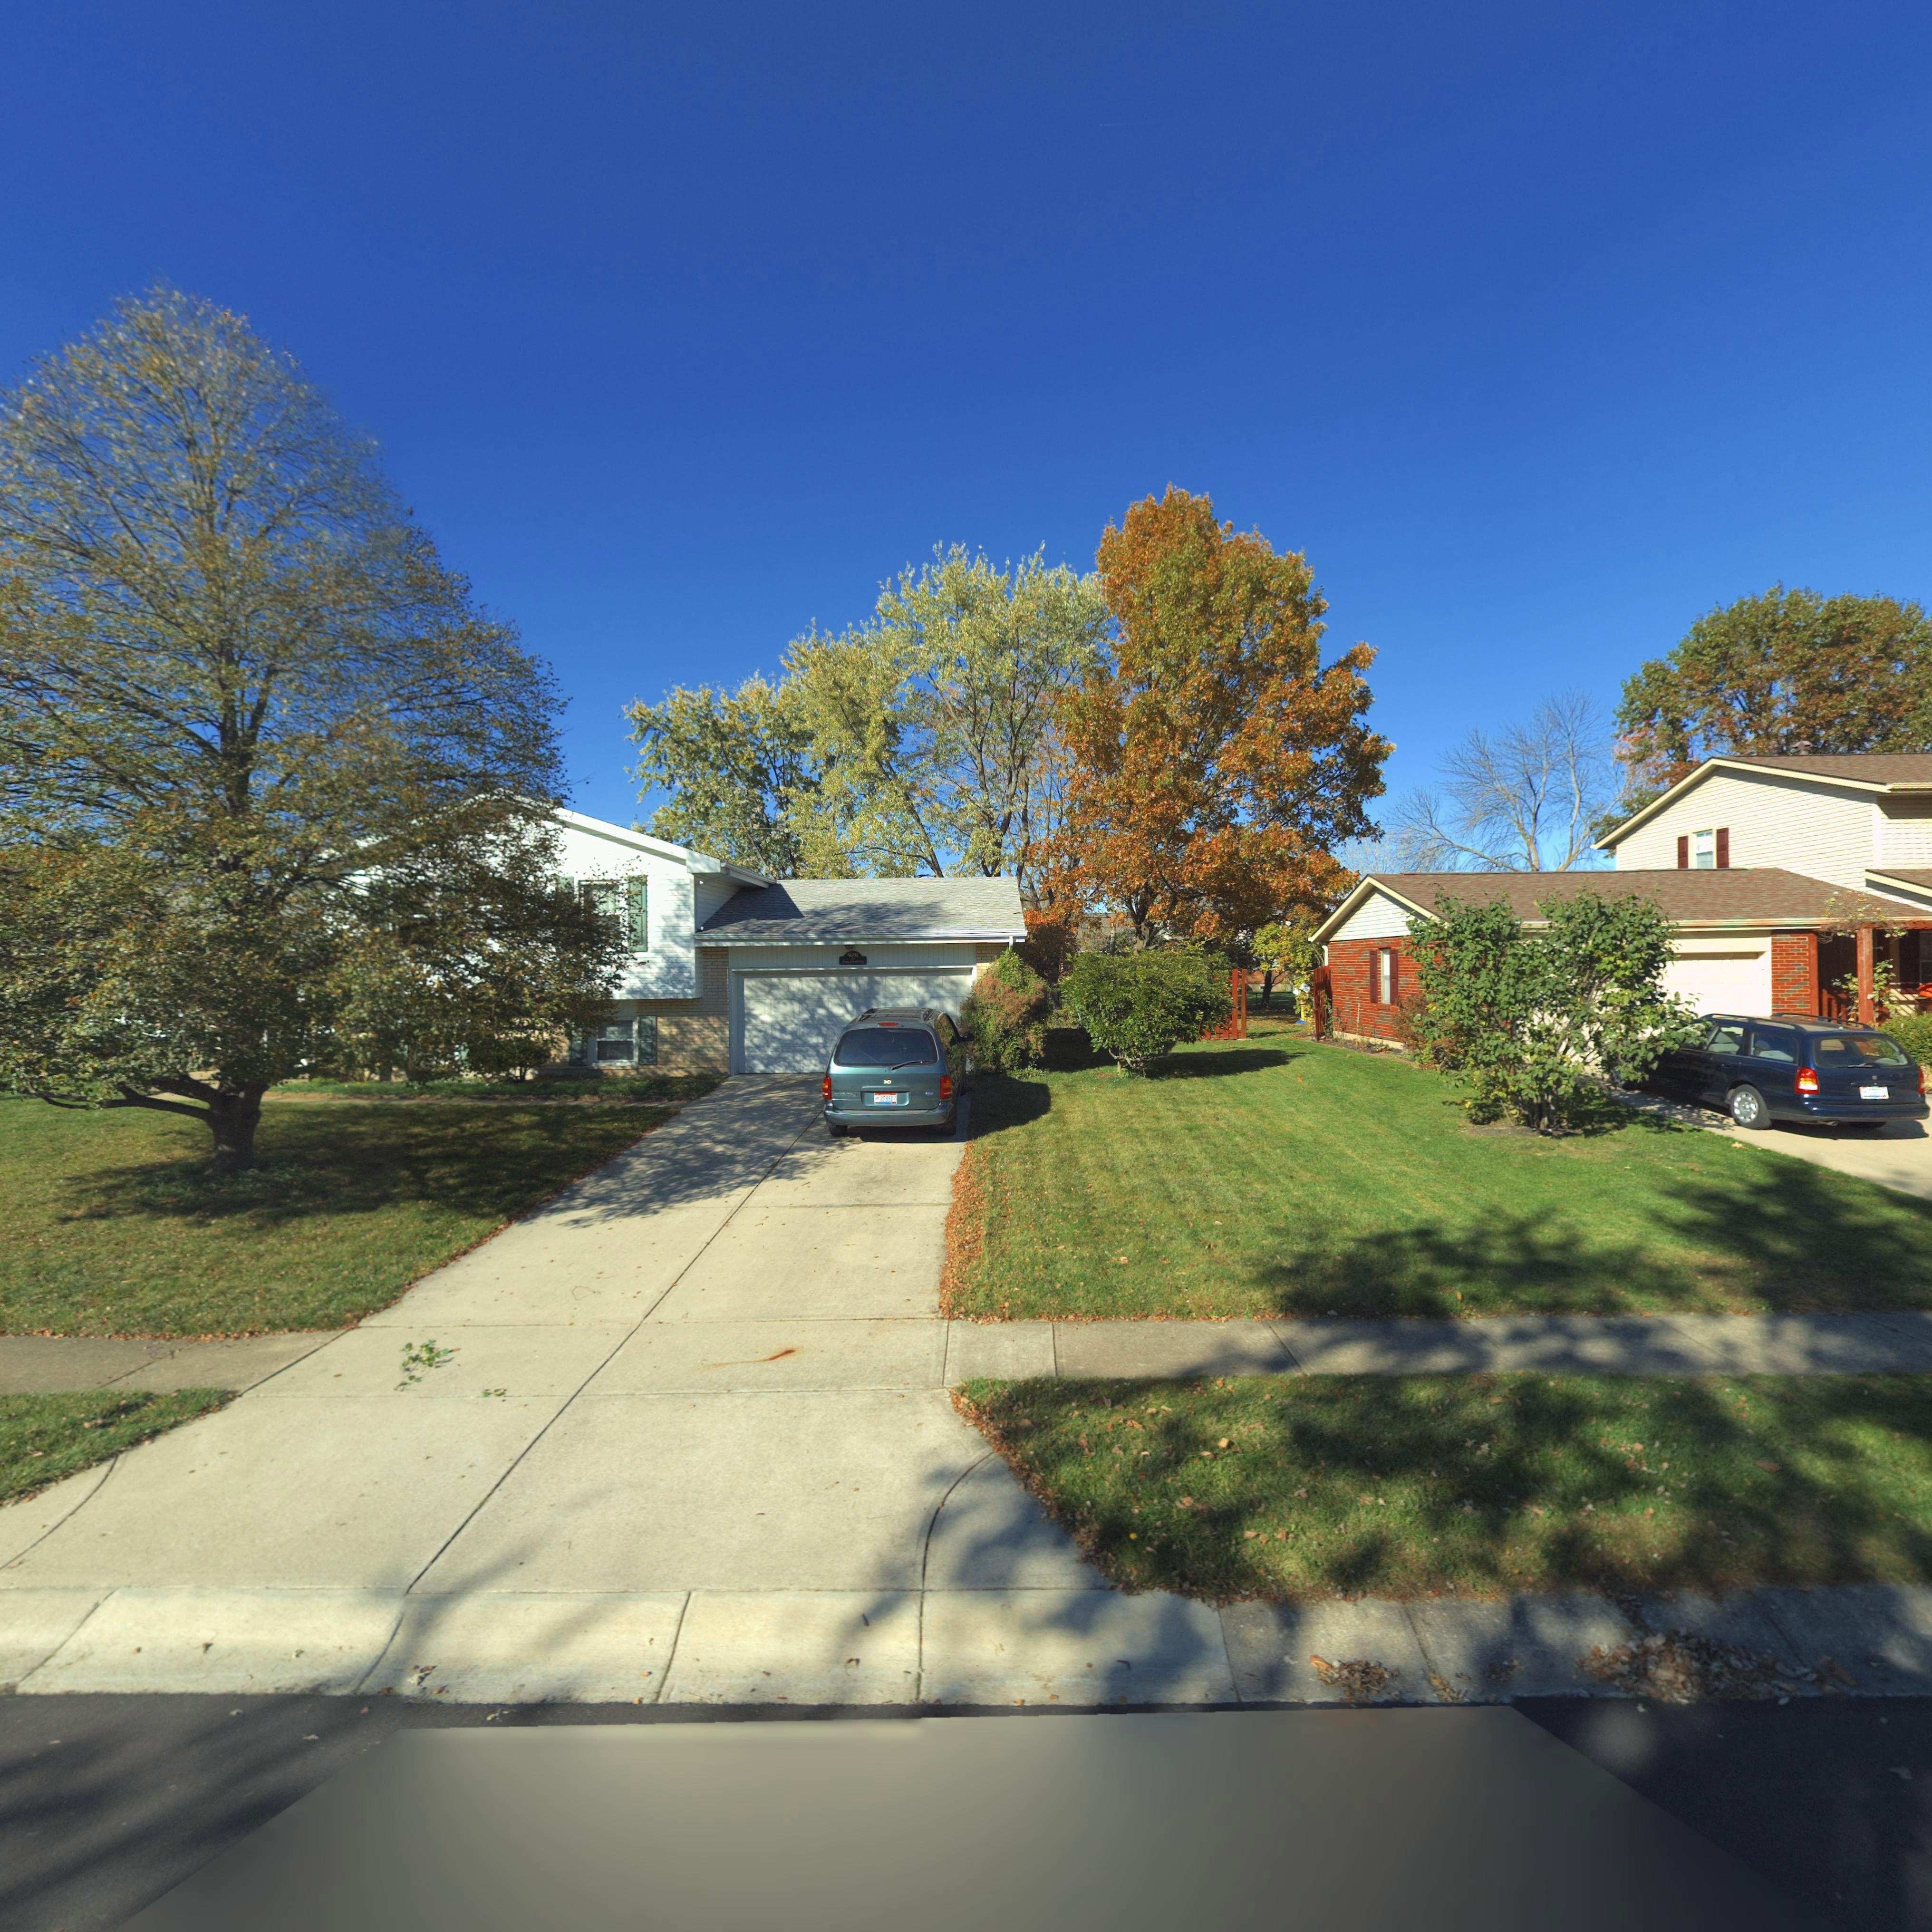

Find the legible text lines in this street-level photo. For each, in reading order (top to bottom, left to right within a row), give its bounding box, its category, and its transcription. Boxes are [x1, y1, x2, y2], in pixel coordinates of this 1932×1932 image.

[846, 952, 860, 959] StreetNumber: 40**
[880, 1095, 897, 1103] None: **68DZ